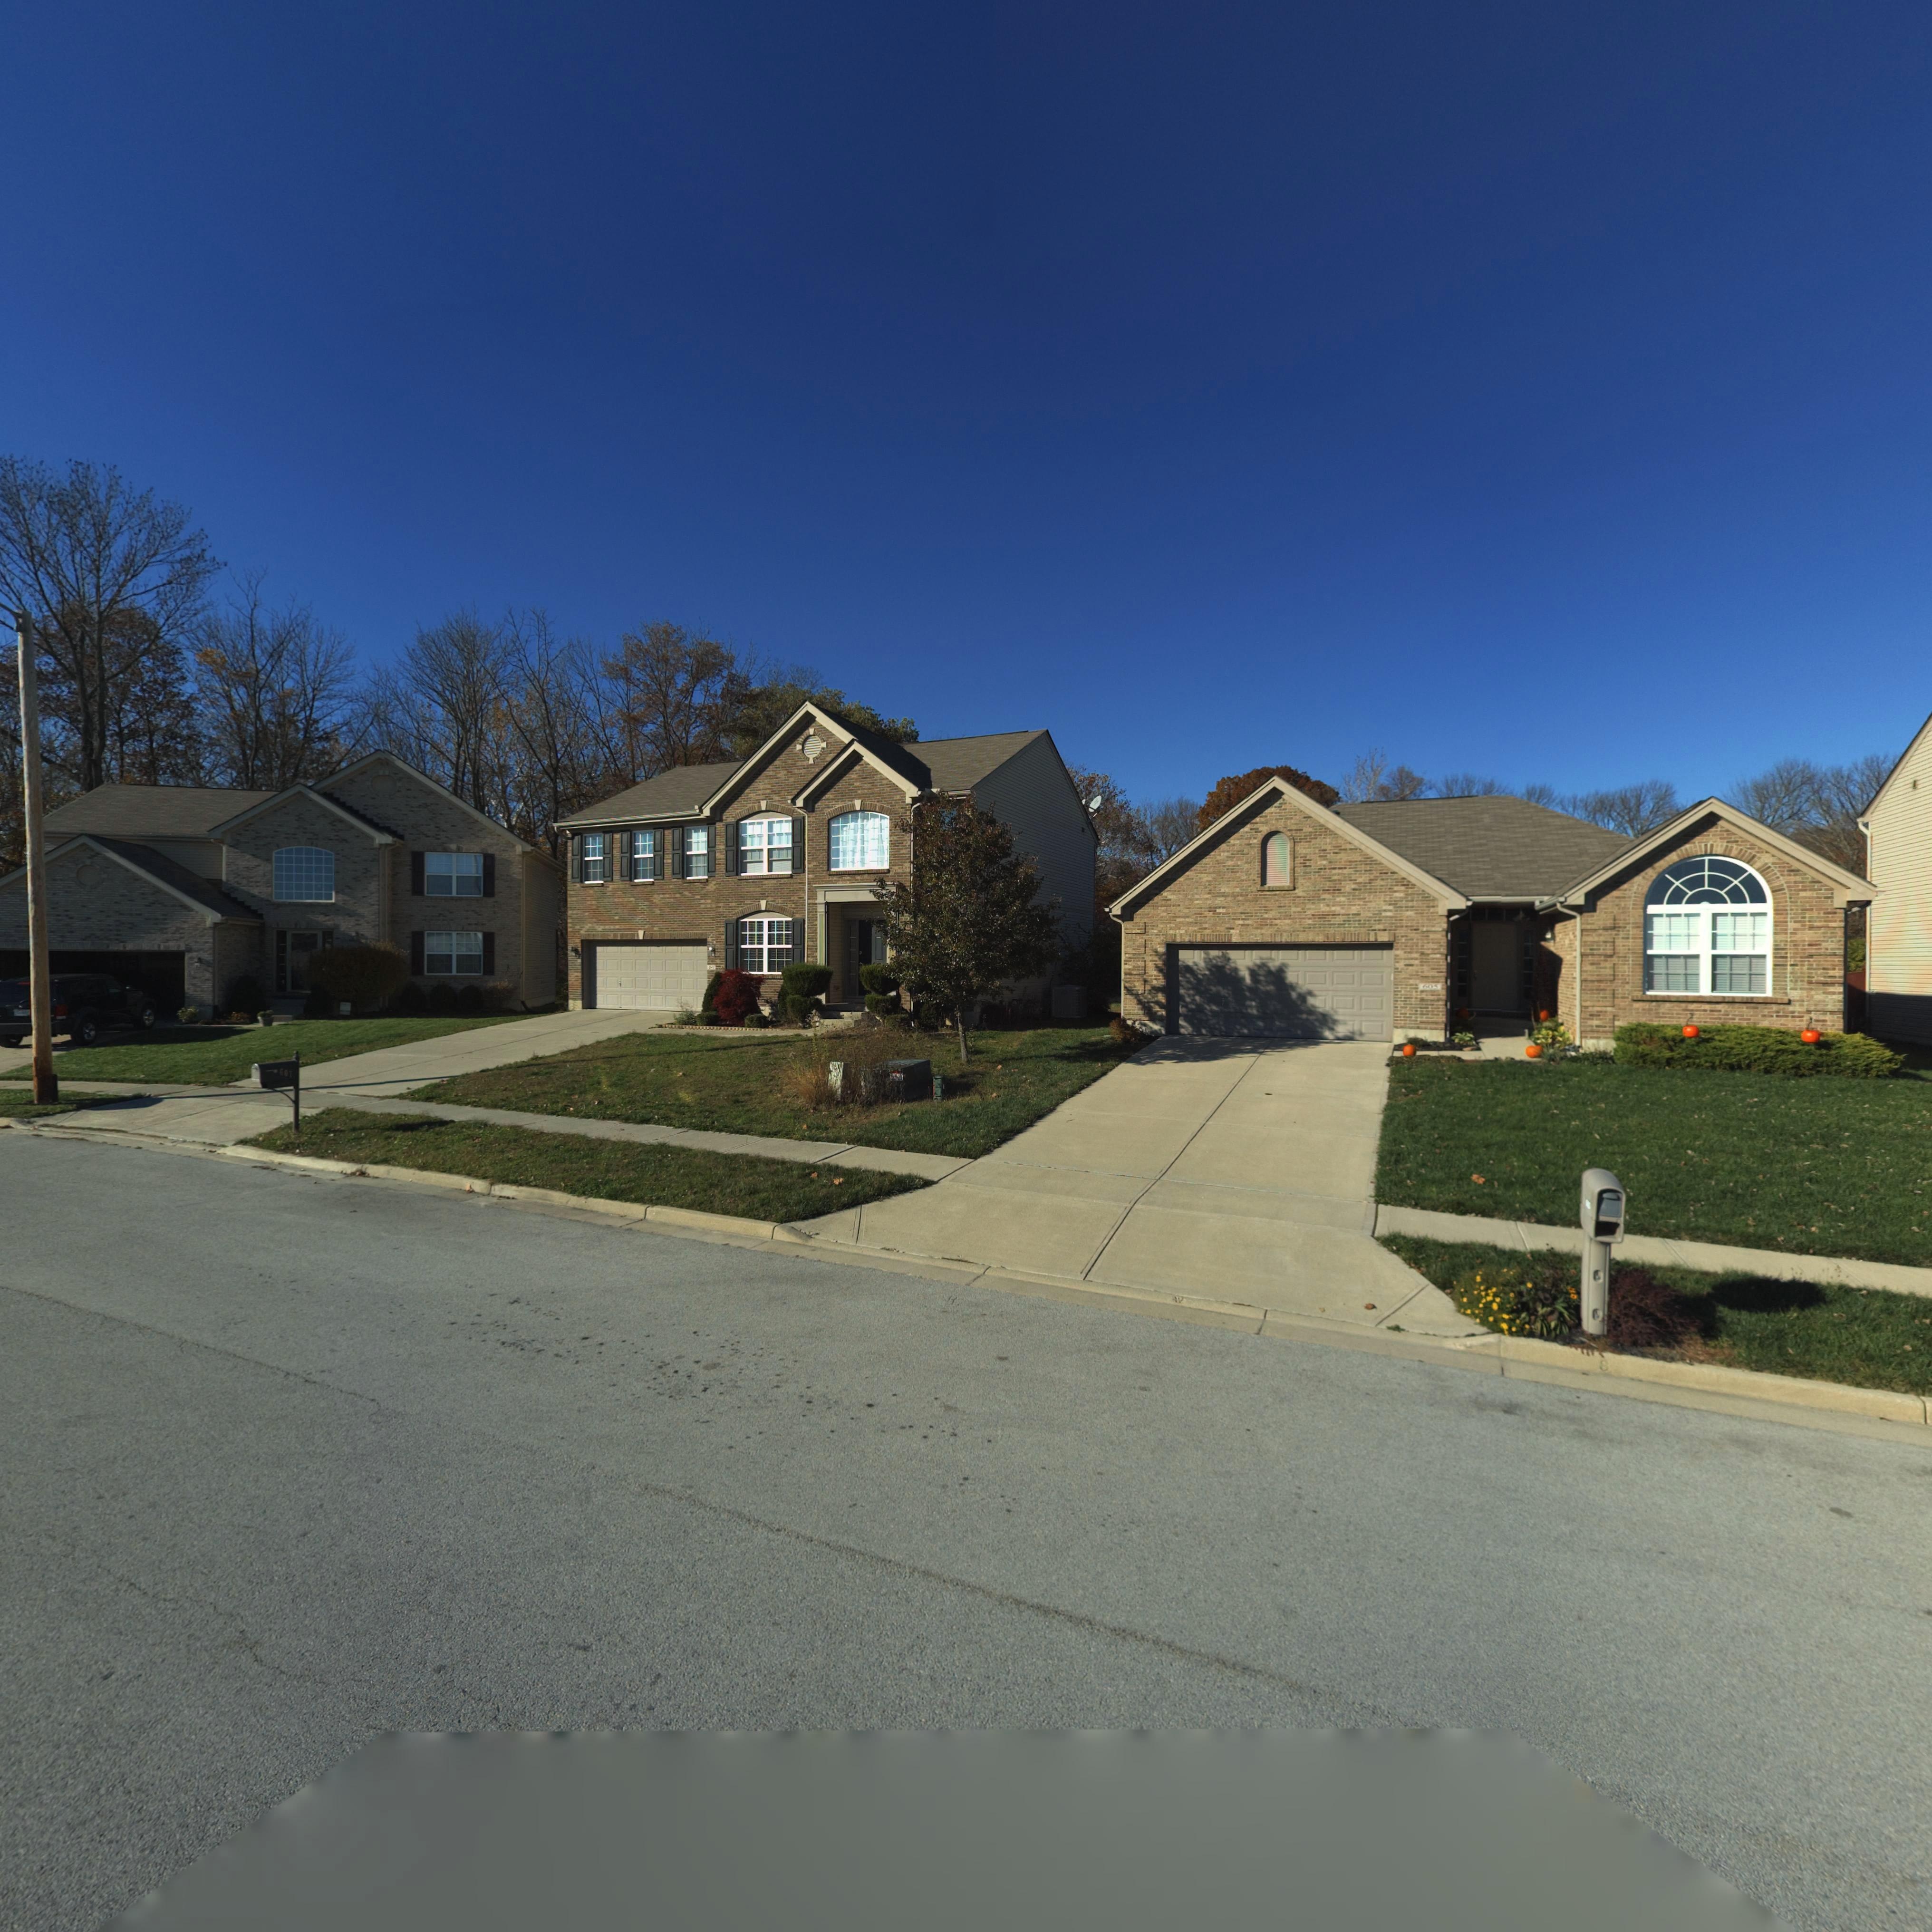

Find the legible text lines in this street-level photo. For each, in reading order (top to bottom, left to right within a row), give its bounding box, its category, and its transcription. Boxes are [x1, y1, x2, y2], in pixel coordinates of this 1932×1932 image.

[708, 965, 715, 970] StreetNumber: 60
[193, 970, 204, 975] StreetNumber: 609
[1421, 983, 1439, 990] StreetNumber: 605
[279, 1067, 293, 1079] StreetNumber: 607